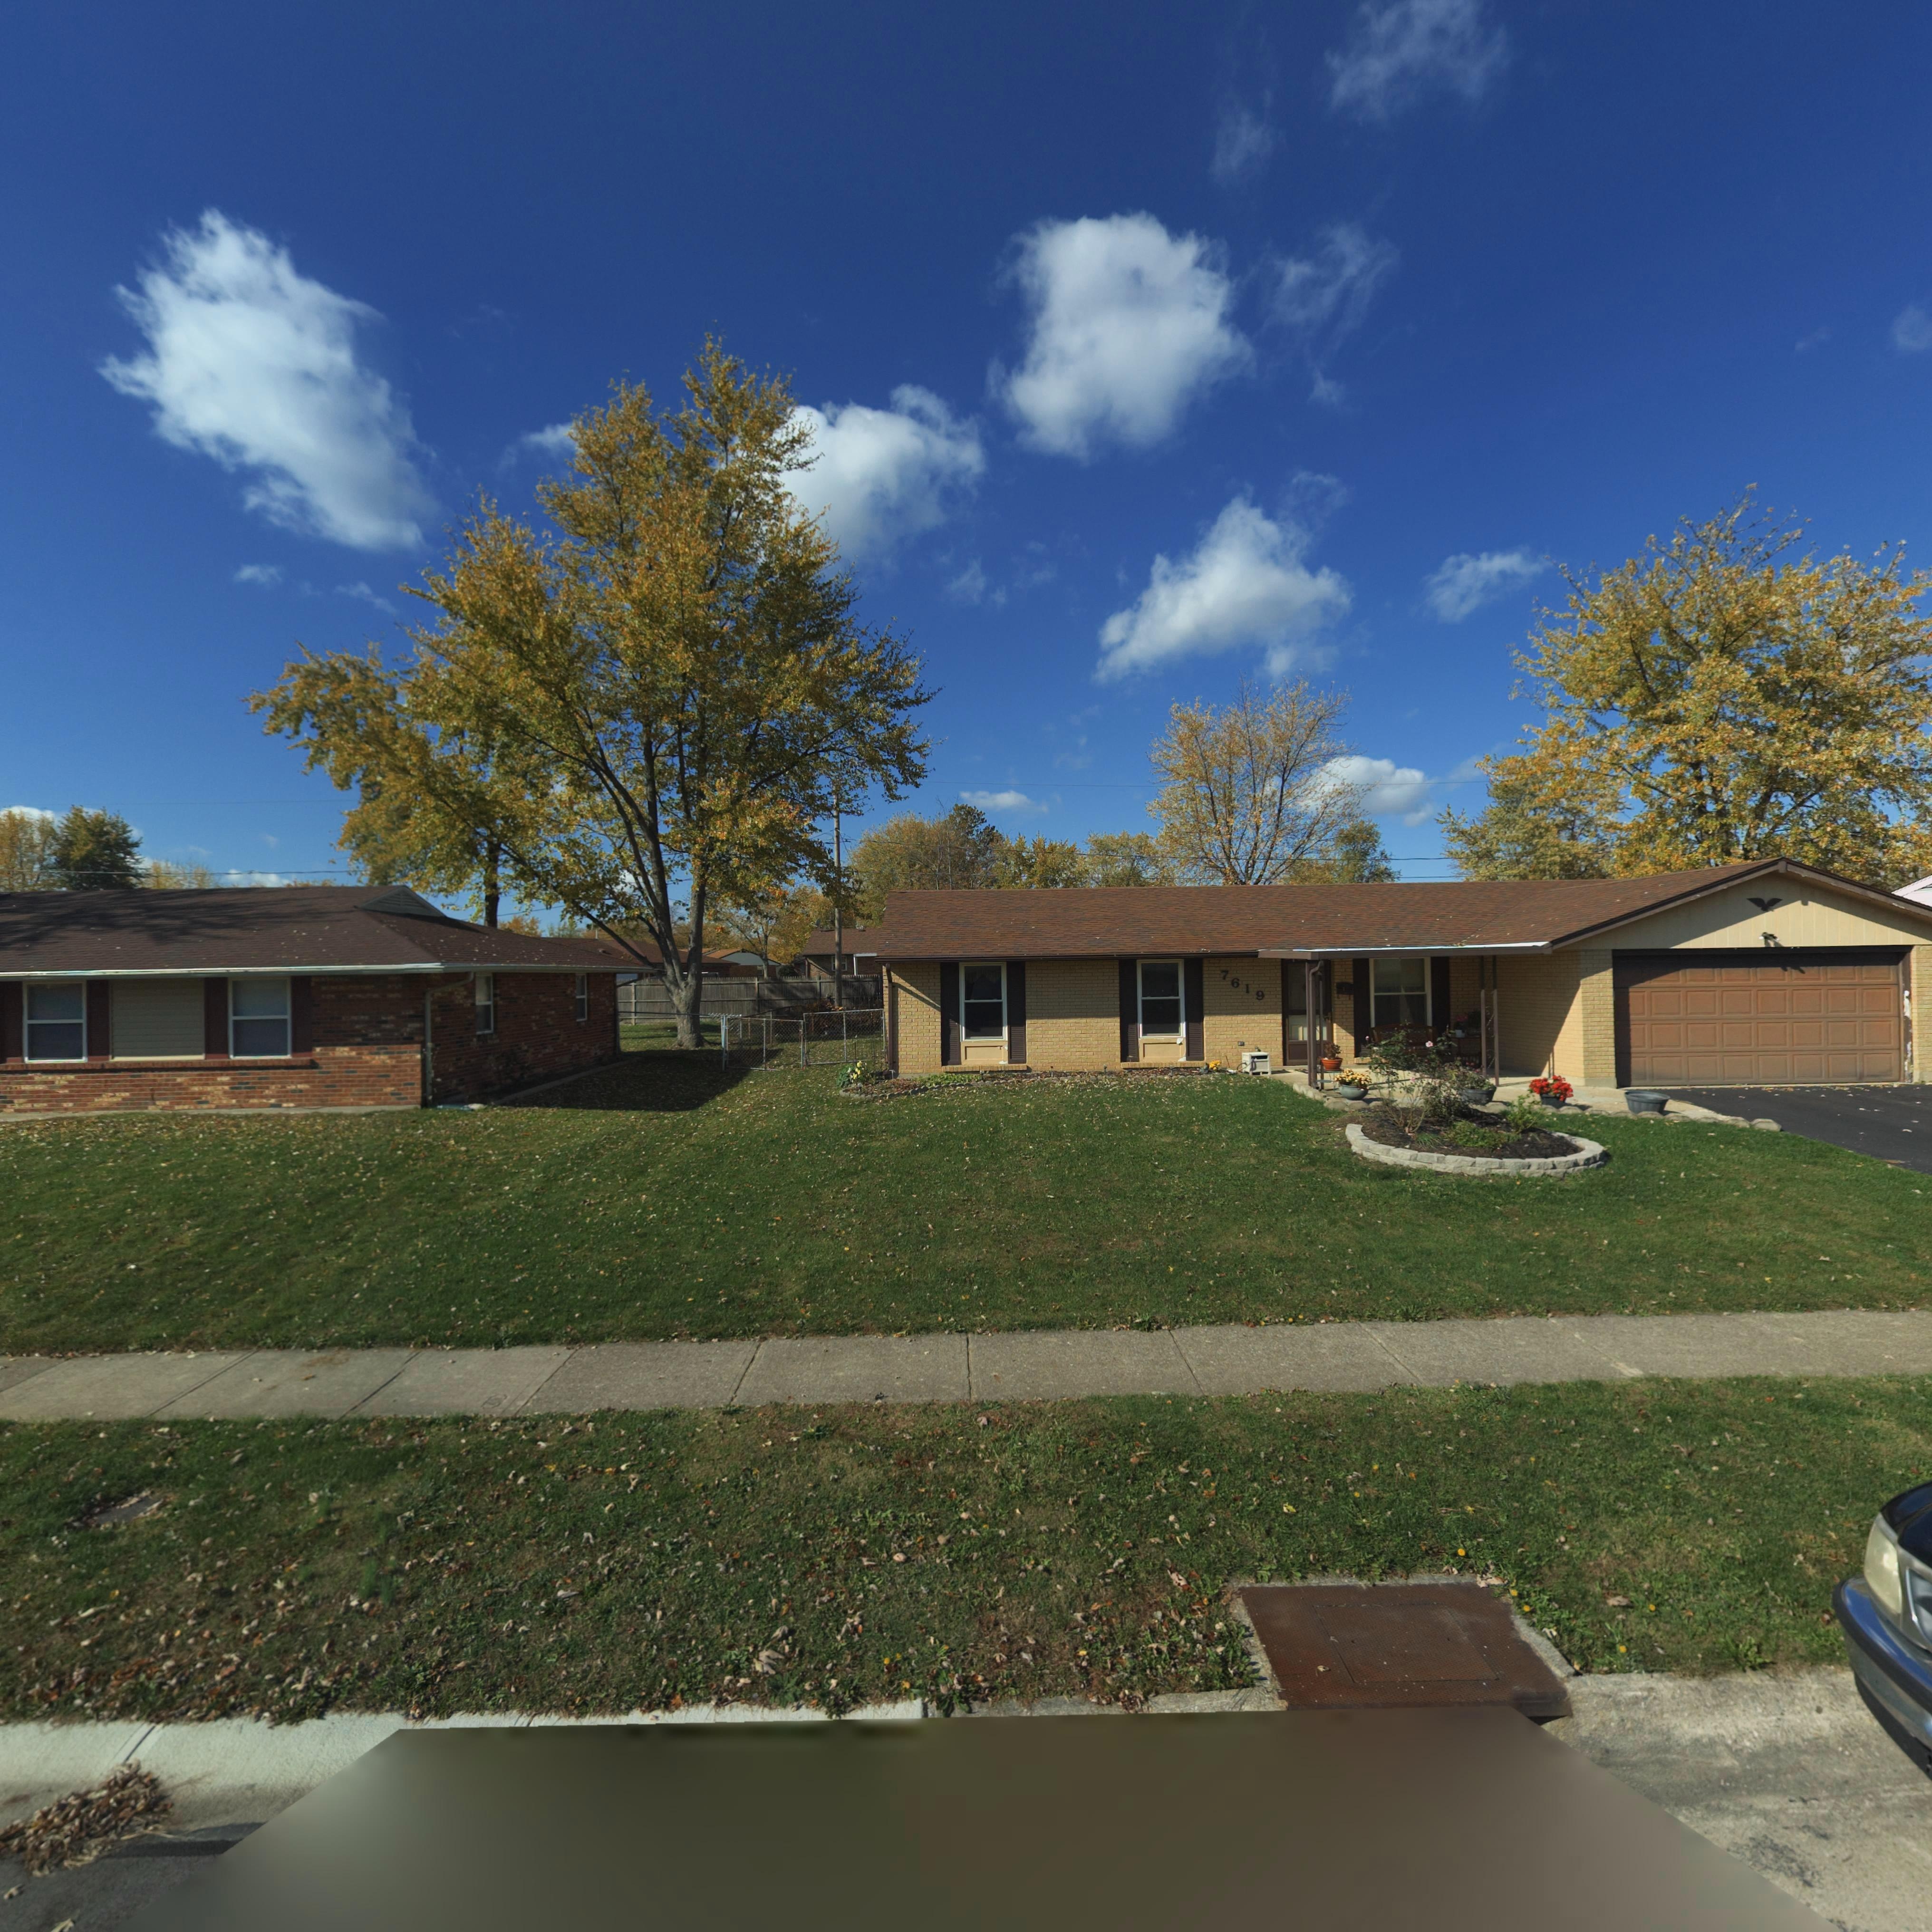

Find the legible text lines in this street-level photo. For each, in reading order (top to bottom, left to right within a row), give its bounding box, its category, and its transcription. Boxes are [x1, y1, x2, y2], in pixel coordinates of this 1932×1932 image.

[1219, 968, 1266, 1002] StreetNumber: 7619